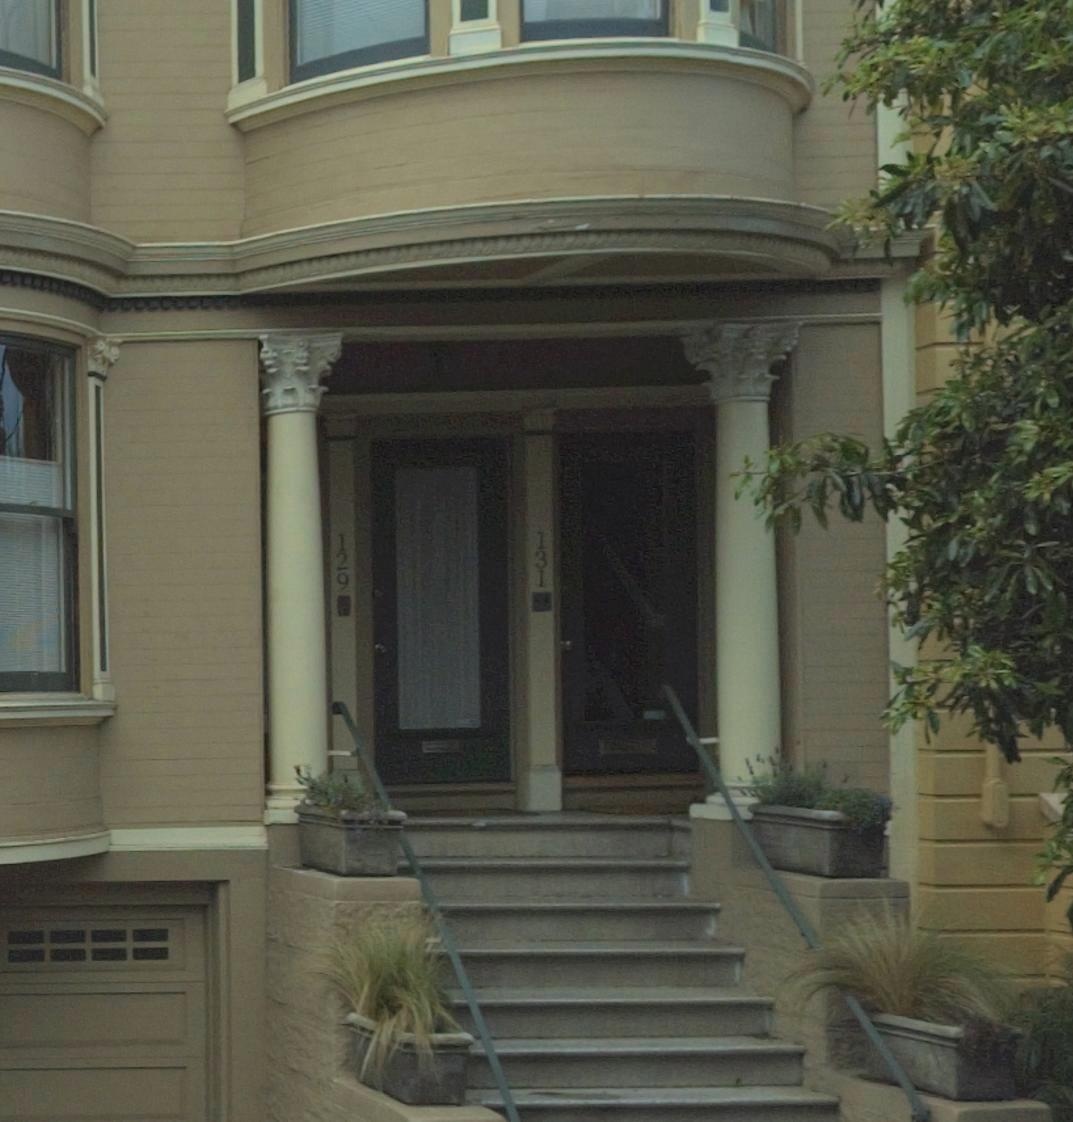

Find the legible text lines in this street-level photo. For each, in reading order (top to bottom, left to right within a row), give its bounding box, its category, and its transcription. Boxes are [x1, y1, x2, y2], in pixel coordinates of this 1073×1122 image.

[332, 531, 351, 592] StreetNumber: 129
[533, 529, 549, 589] StreetNumber: 131